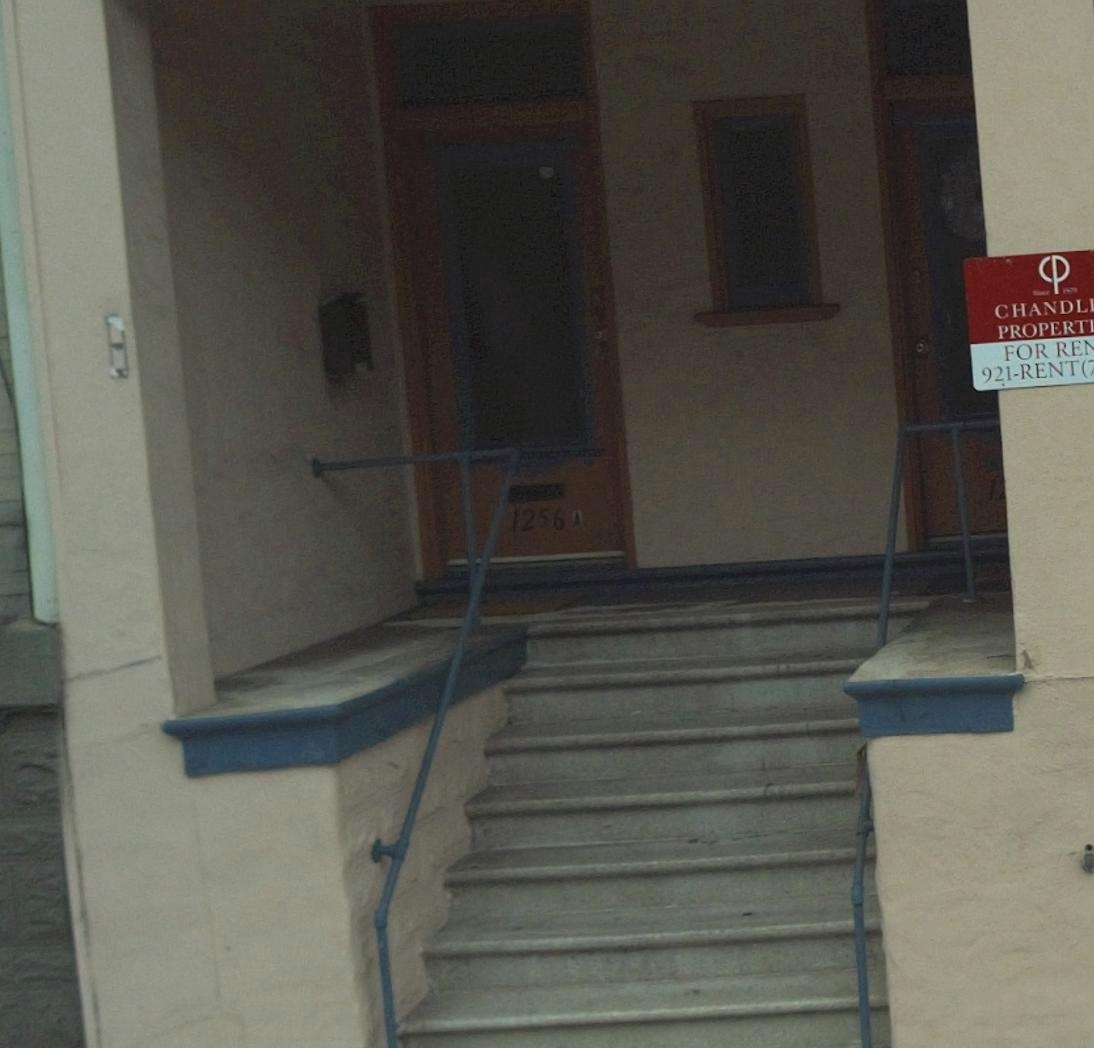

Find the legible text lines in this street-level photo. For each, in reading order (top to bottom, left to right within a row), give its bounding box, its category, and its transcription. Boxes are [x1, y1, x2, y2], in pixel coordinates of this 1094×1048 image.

[992, 297, 1090, 320] None: CHANDL
[996, 319, 1091, 340] None: PROPERT
[1004, 339, 1084, 361] None: FOR RE
[979, 359, 1081, 385] None: 921-RENT
[511, 506, 583, 533] StreetNumber: 1256A